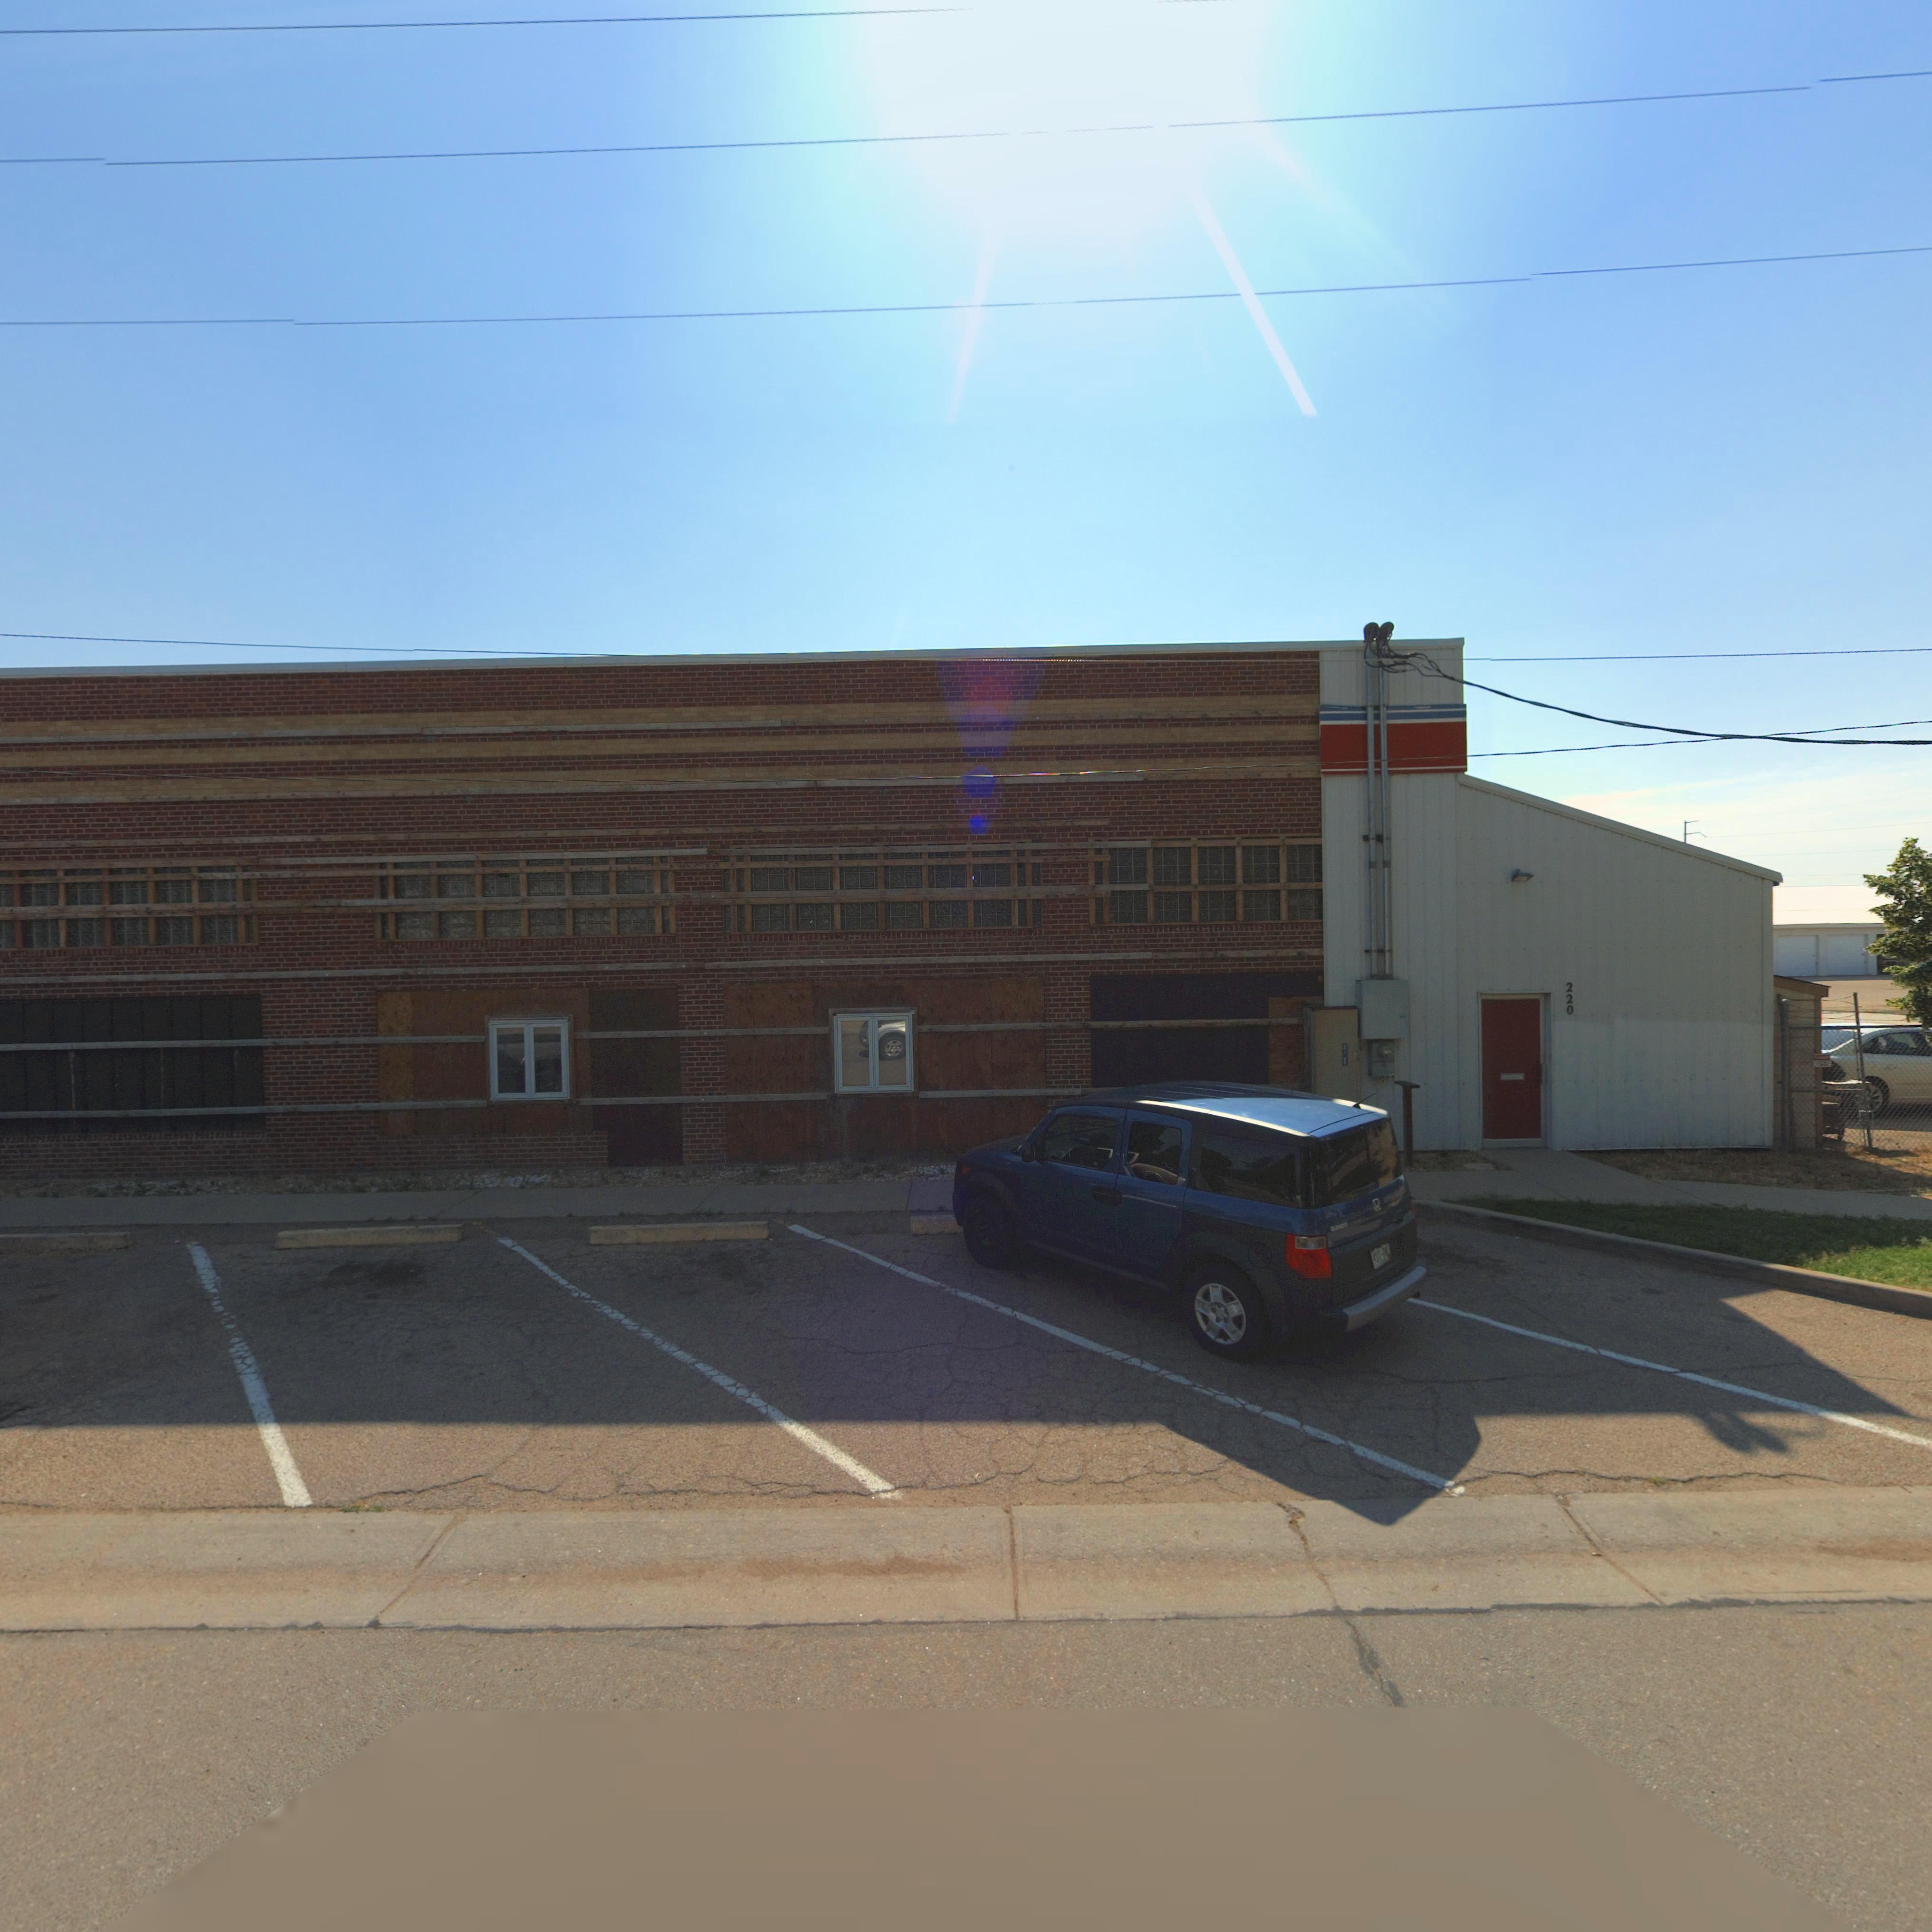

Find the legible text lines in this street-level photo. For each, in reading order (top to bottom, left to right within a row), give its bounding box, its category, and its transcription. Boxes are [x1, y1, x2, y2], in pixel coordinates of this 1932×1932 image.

[1565, 982, 1574, 1016] StreetNumber: 220